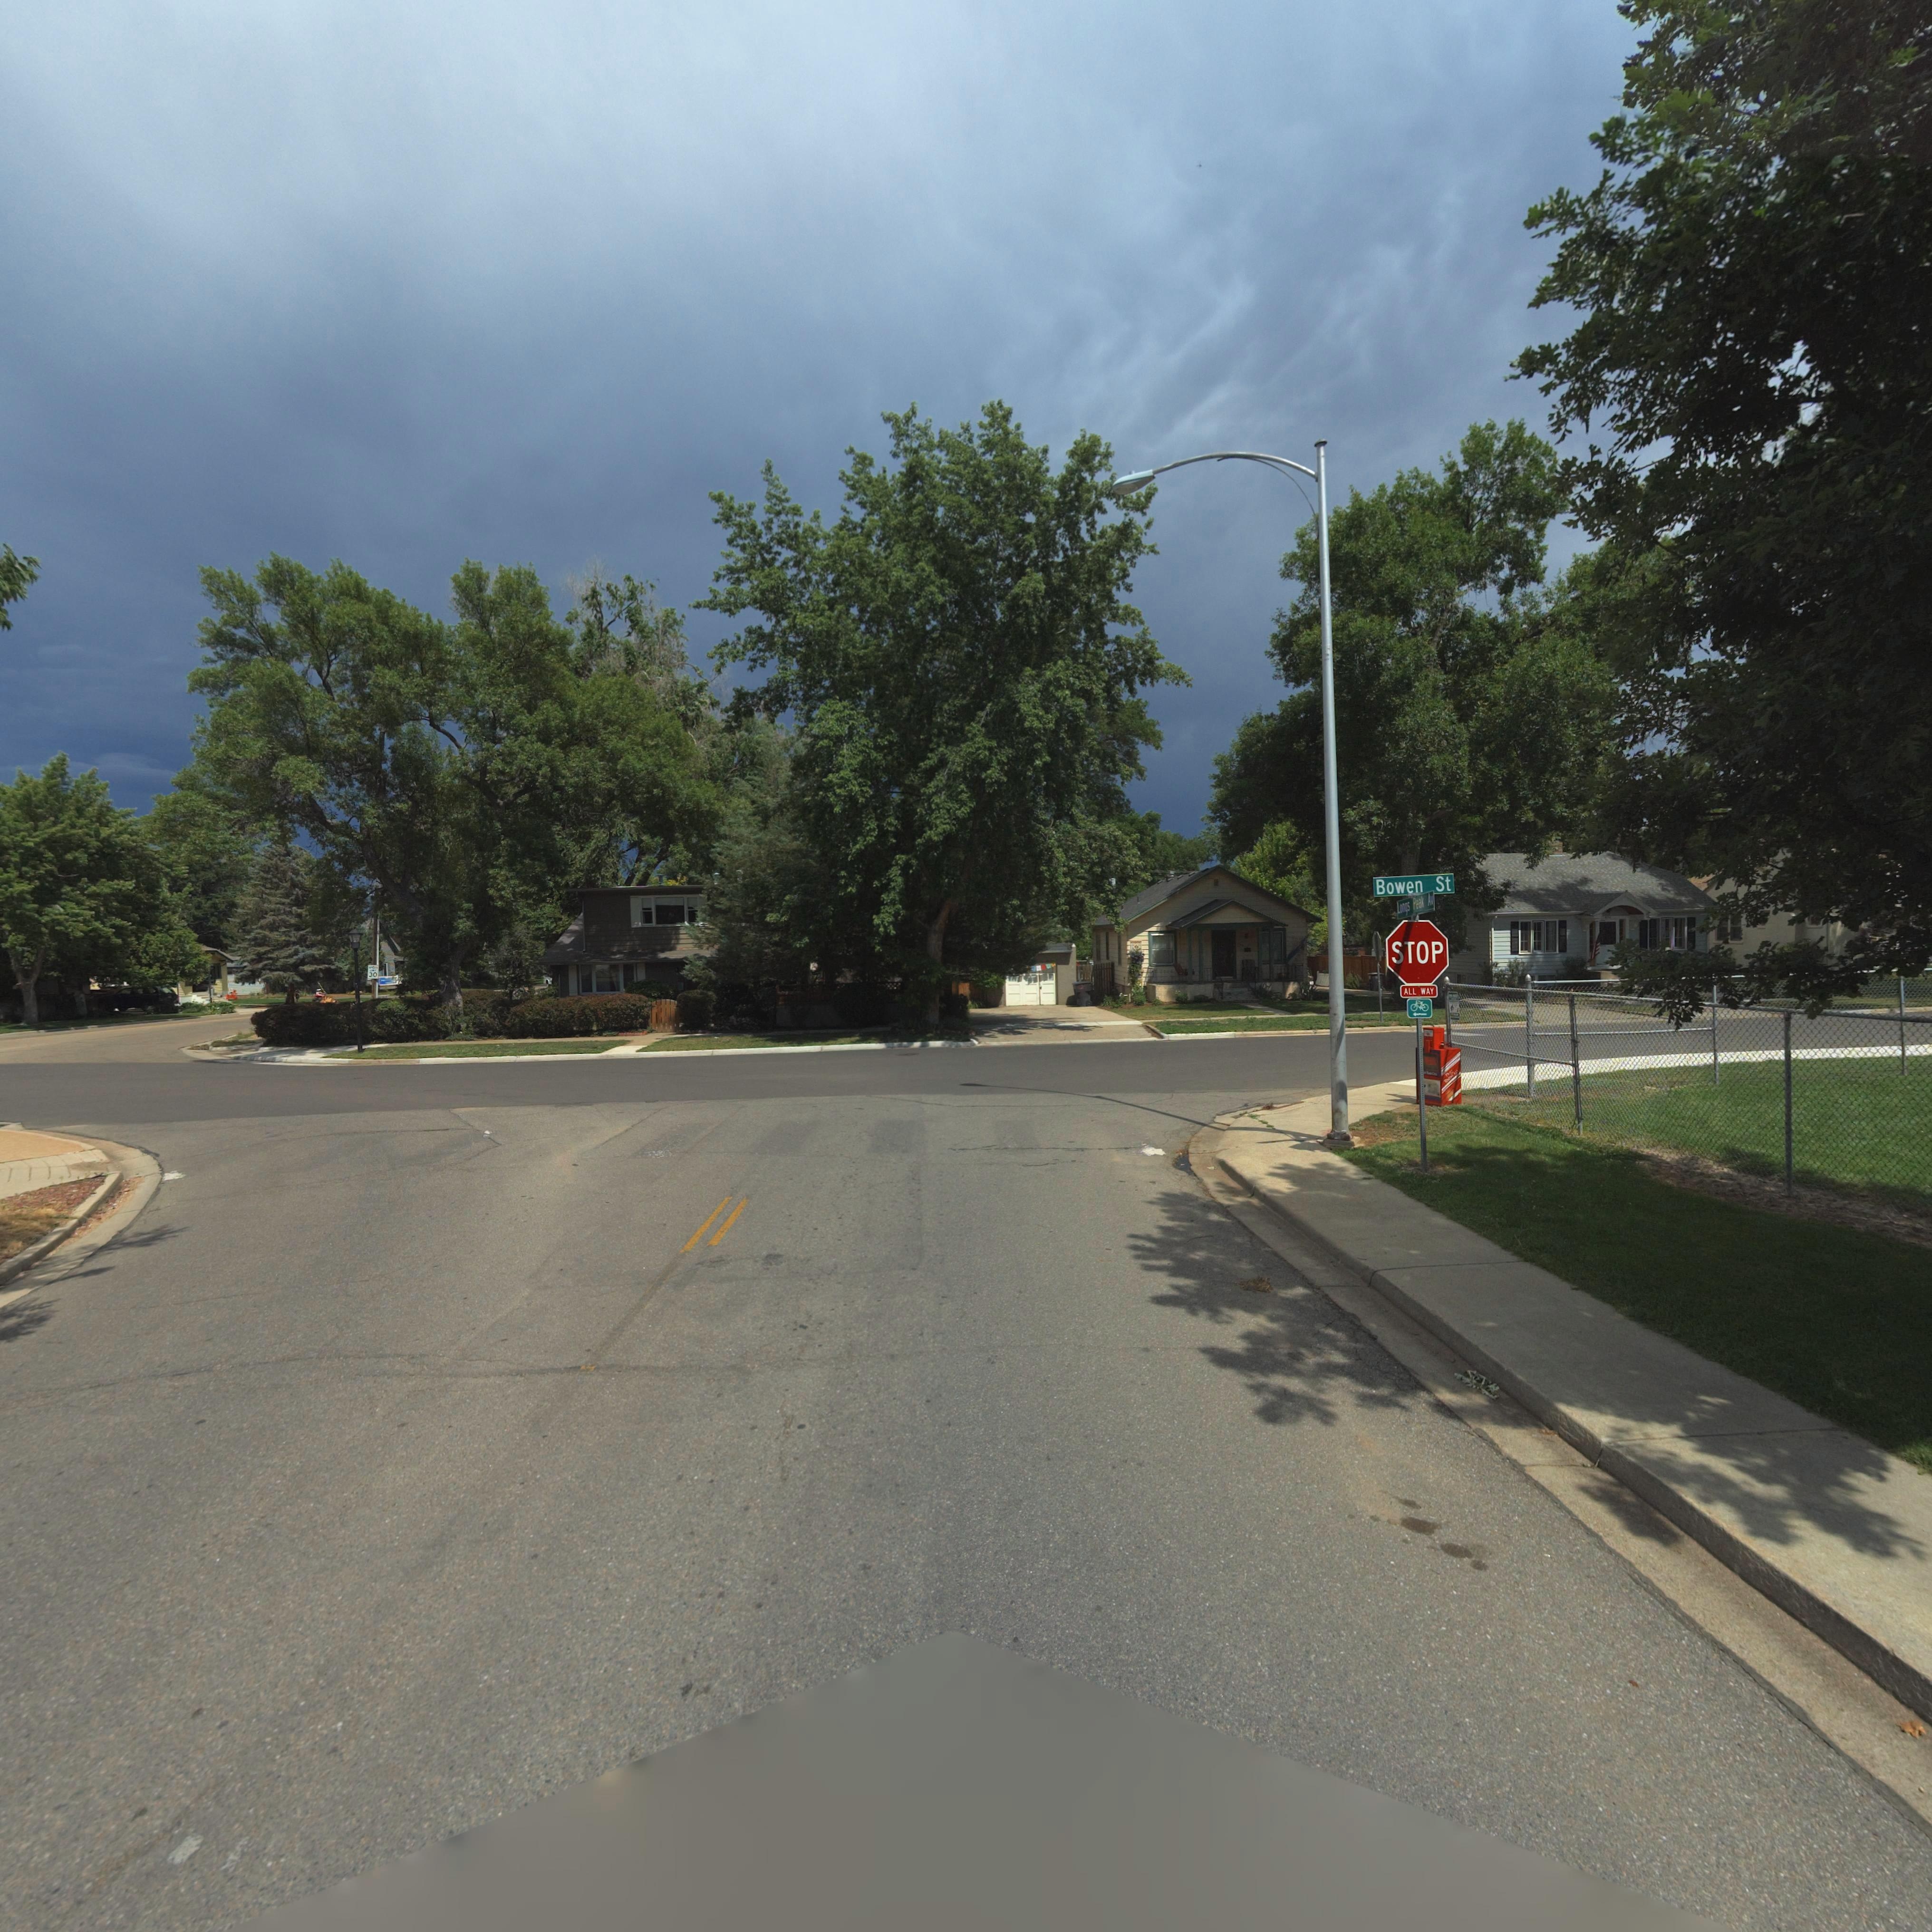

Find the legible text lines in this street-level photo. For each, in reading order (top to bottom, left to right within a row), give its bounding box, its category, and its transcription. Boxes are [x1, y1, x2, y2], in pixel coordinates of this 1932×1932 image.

[1376, 875, 1451, 895] StreetName: Bowen St
[1396, 892, 1433, 916] StreetName: Longs Peak Av